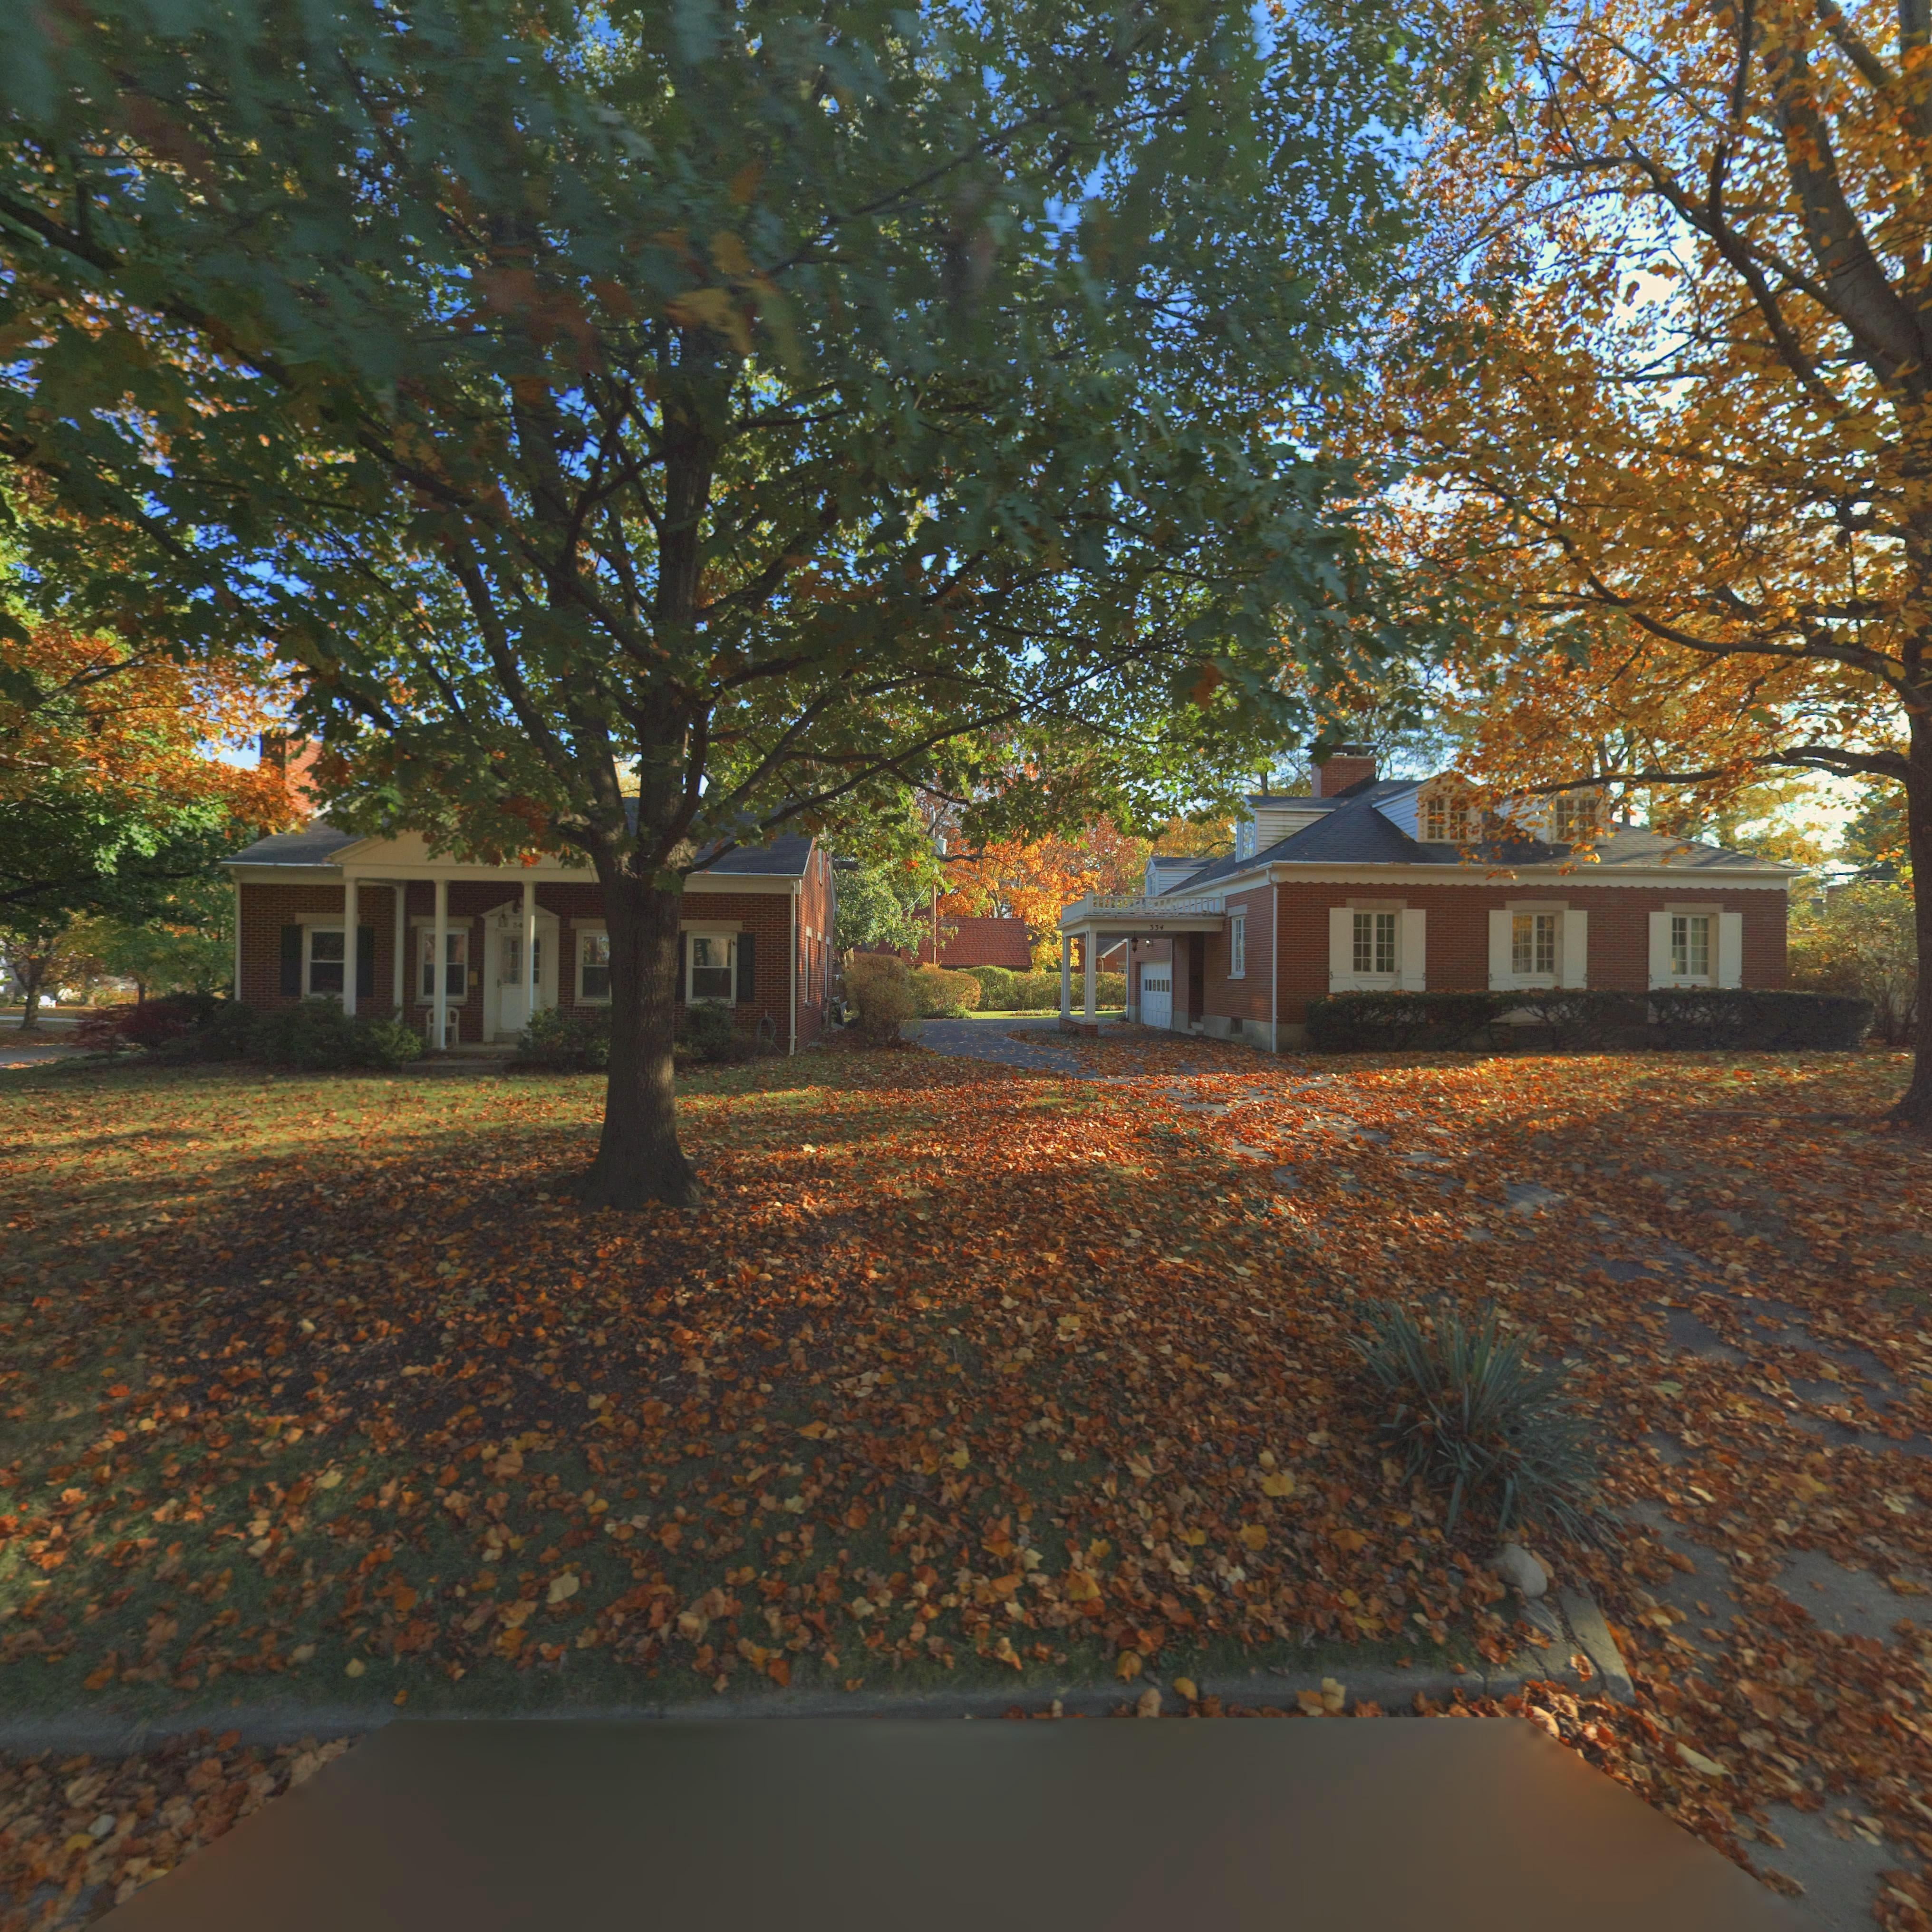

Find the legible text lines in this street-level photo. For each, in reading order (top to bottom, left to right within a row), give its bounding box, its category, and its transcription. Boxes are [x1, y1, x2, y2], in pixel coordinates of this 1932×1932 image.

[512, 921, 524, 930] StreetNumber: 34
[1148, 923, 1165, 931] StreetNumber: 334\